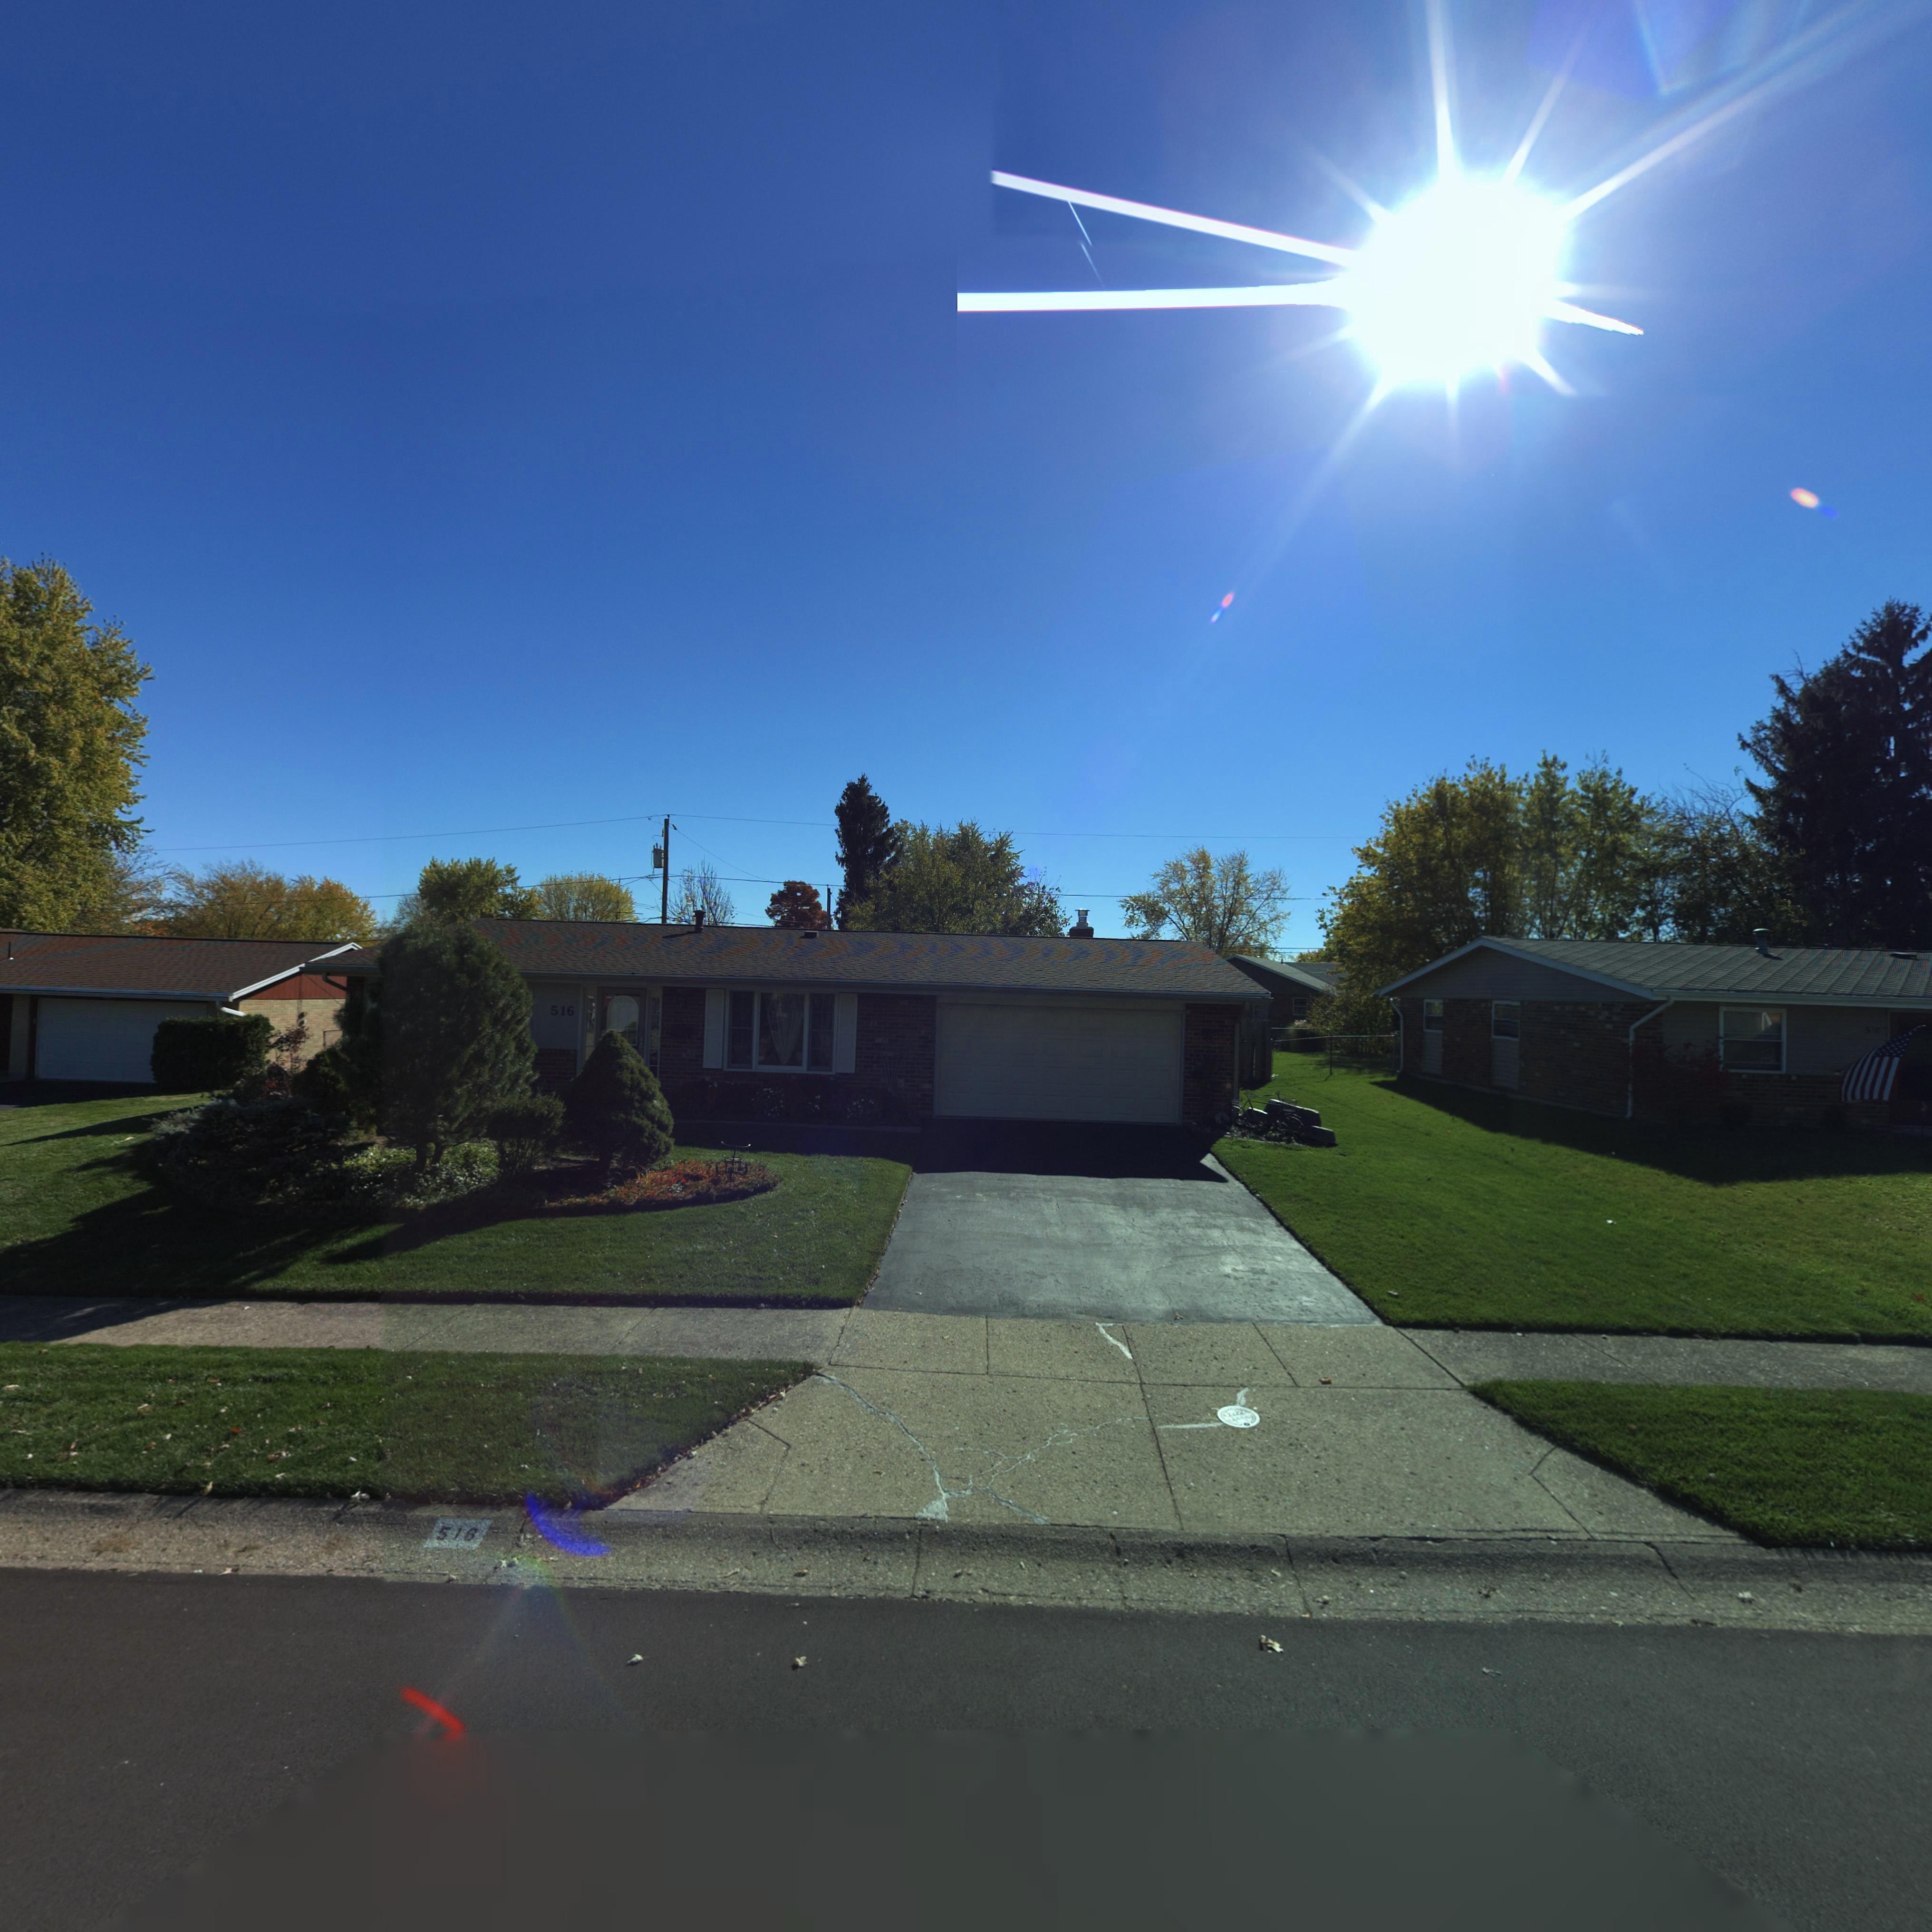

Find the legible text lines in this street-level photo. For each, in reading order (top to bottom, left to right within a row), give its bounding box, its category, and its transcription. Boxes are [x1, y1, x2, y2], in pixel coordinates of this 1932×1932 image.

[551, 1005, 575, 1016] StreetNumber: 516
[1864, 1025, 1882, 1034] StreetNumber: 518
[435, 1526, 479, 1542] StreetNumber: 516